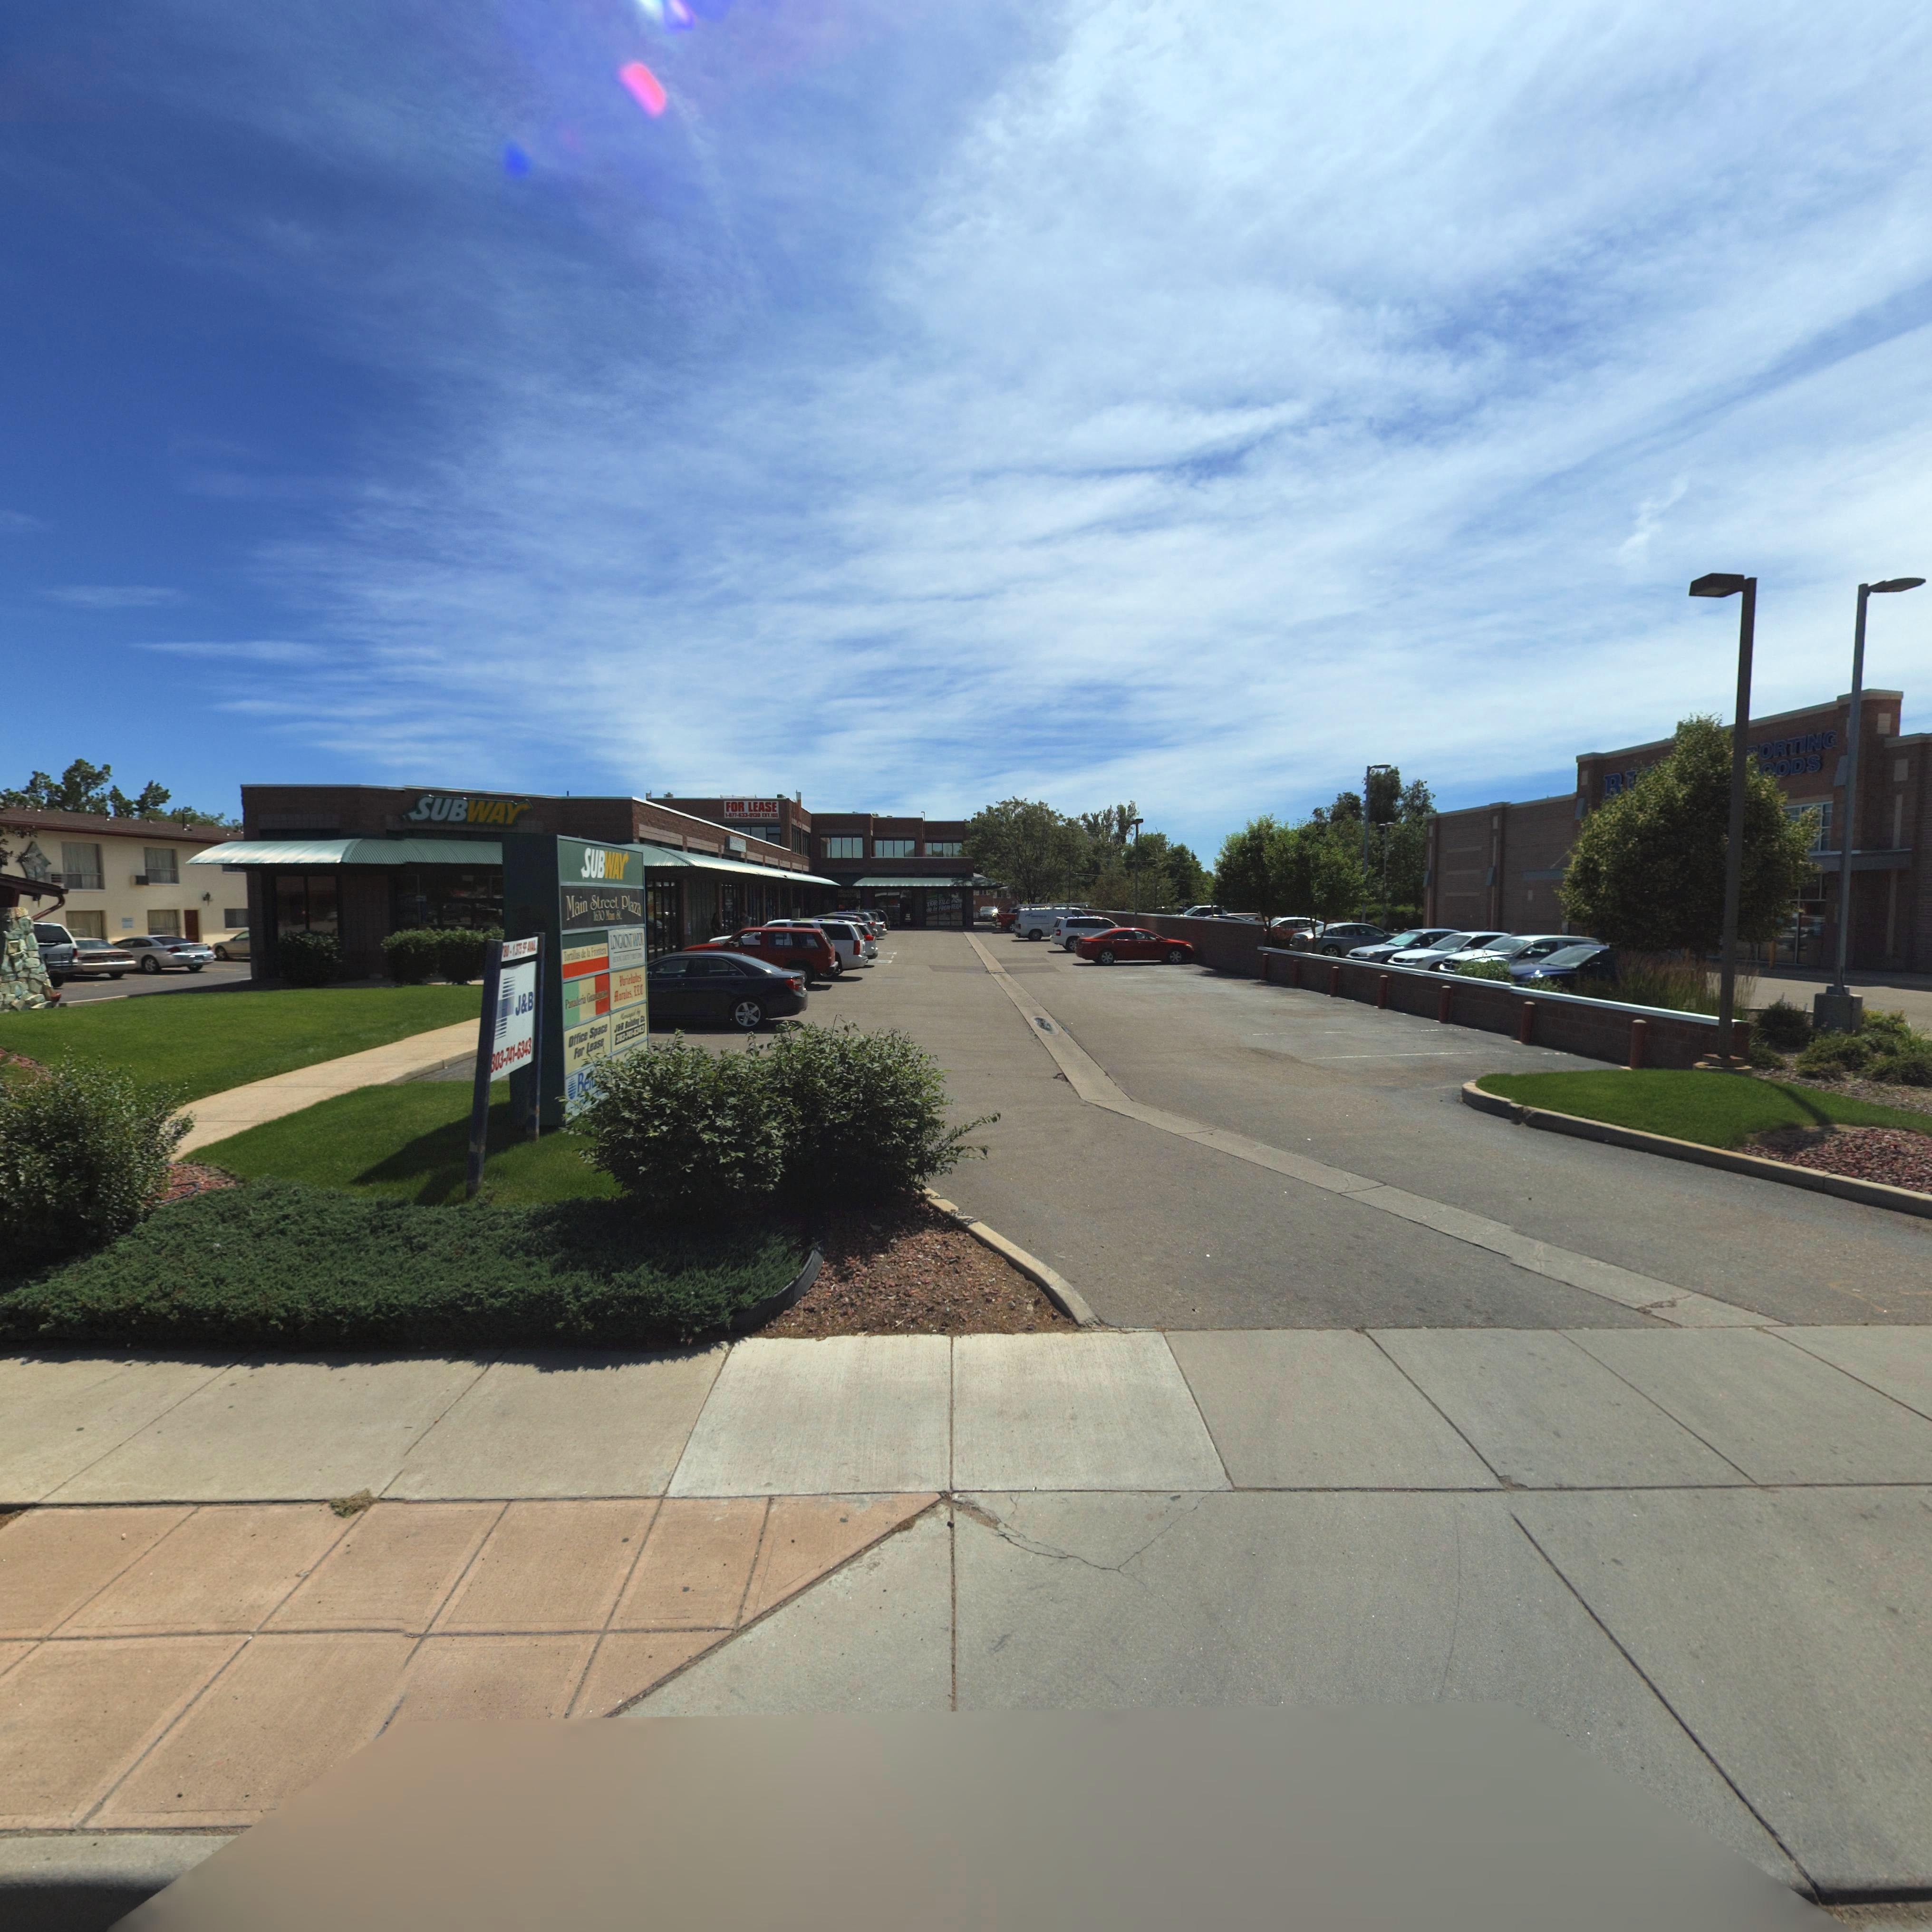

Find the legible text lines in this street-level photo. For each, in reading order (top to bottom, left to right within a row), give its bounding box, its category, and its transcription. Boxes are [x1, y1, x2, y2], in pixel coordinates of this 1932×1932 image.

[1745, 729, 1840, 763] BusinessName: *ORTING
[1745, 753, 1822, 782] BusinessName: **ODS
[1602, 768, 1638, 800] BusinessName: B*
[406, 794, 533, 826] BusinessName: SUBWAY
[580, 846, 630, 881] BusinessName: SUBWAY
[593, 910, 605, 921] StreetNumber: 1630
[605, 909, 623, 920] StreetName: Ma*n St.
[609, 932, 644, 950] BusinessName: LONGMONT V**OR
[563, 947, 607, 961] BusinessName: Tortillas de la Fronter*
[618, 972, 642, 987] BusinessName: Varied***s
[565, 989, 608, 1010] BusinessName: Panaderia Guana*****
[613, 983, 644, 1003] BusinessName: Morales, LLC
[576, 1071, 590, 1098] BusinessName: Be